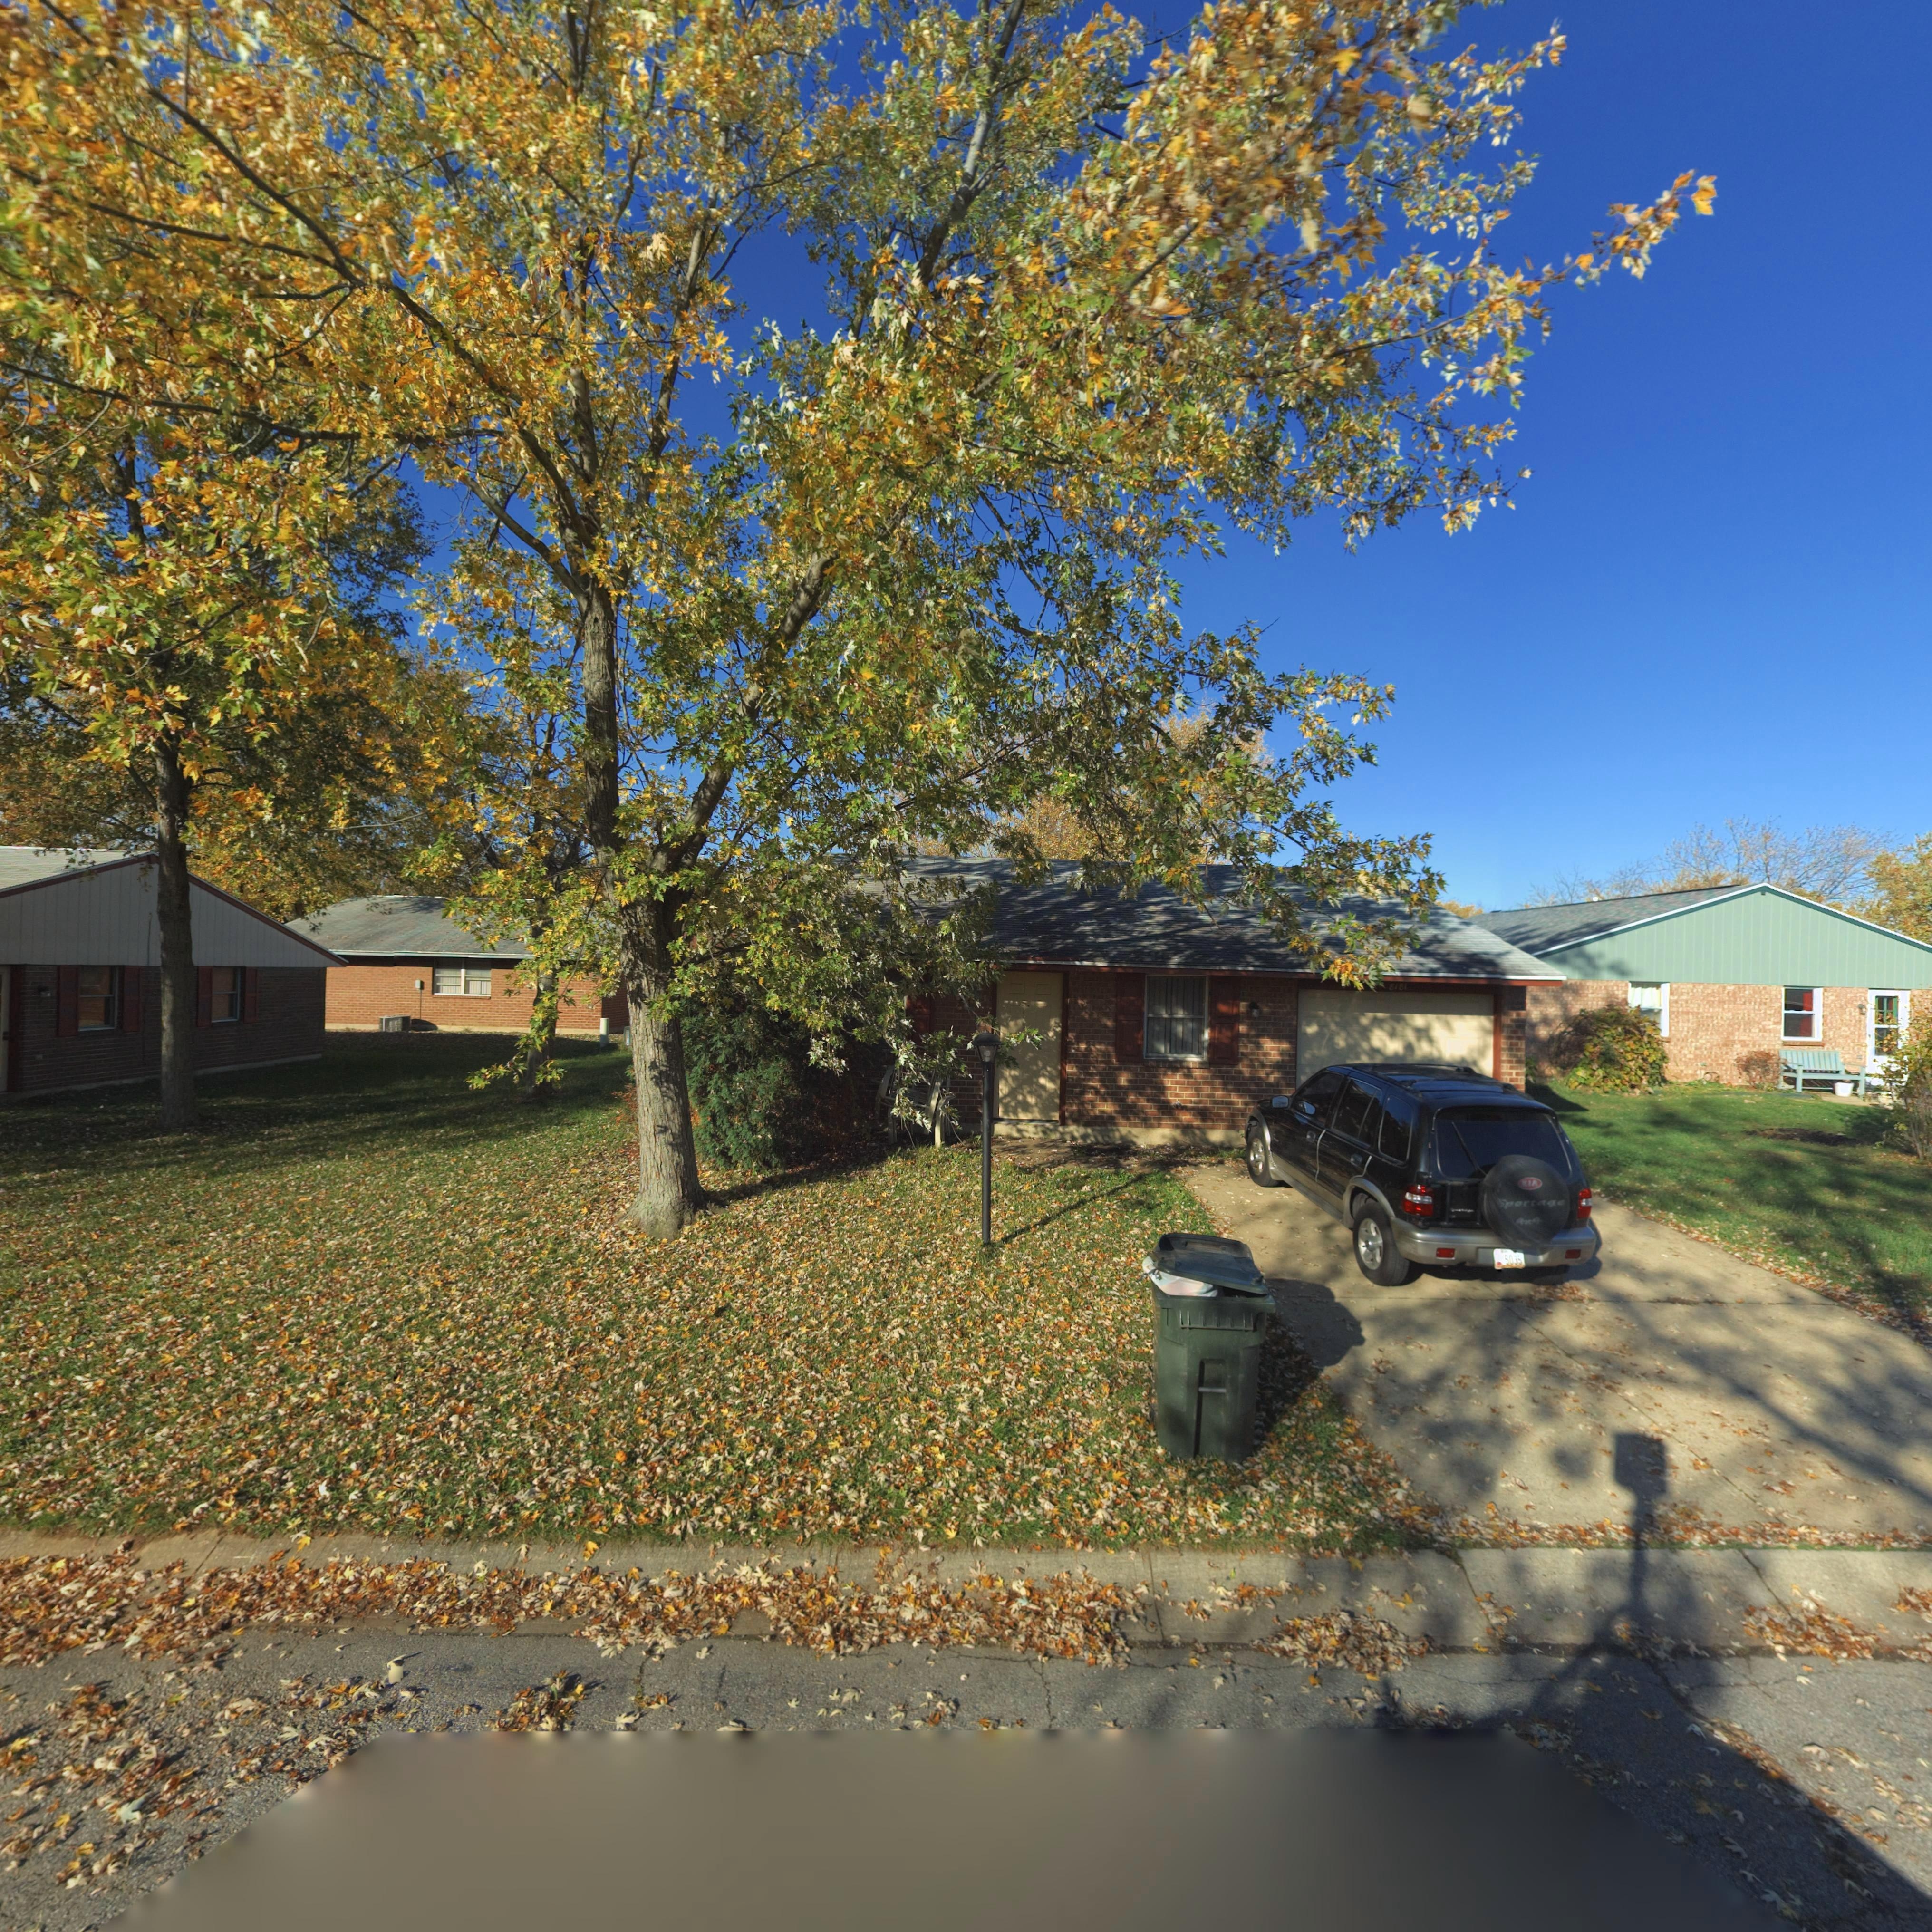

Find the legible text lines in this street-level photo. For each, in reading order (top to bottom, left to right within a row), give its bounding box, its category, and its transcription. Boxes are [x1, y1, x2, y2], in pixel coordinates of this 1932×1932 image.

[1388, 982, 1408, 992] StreetNumber: 8181